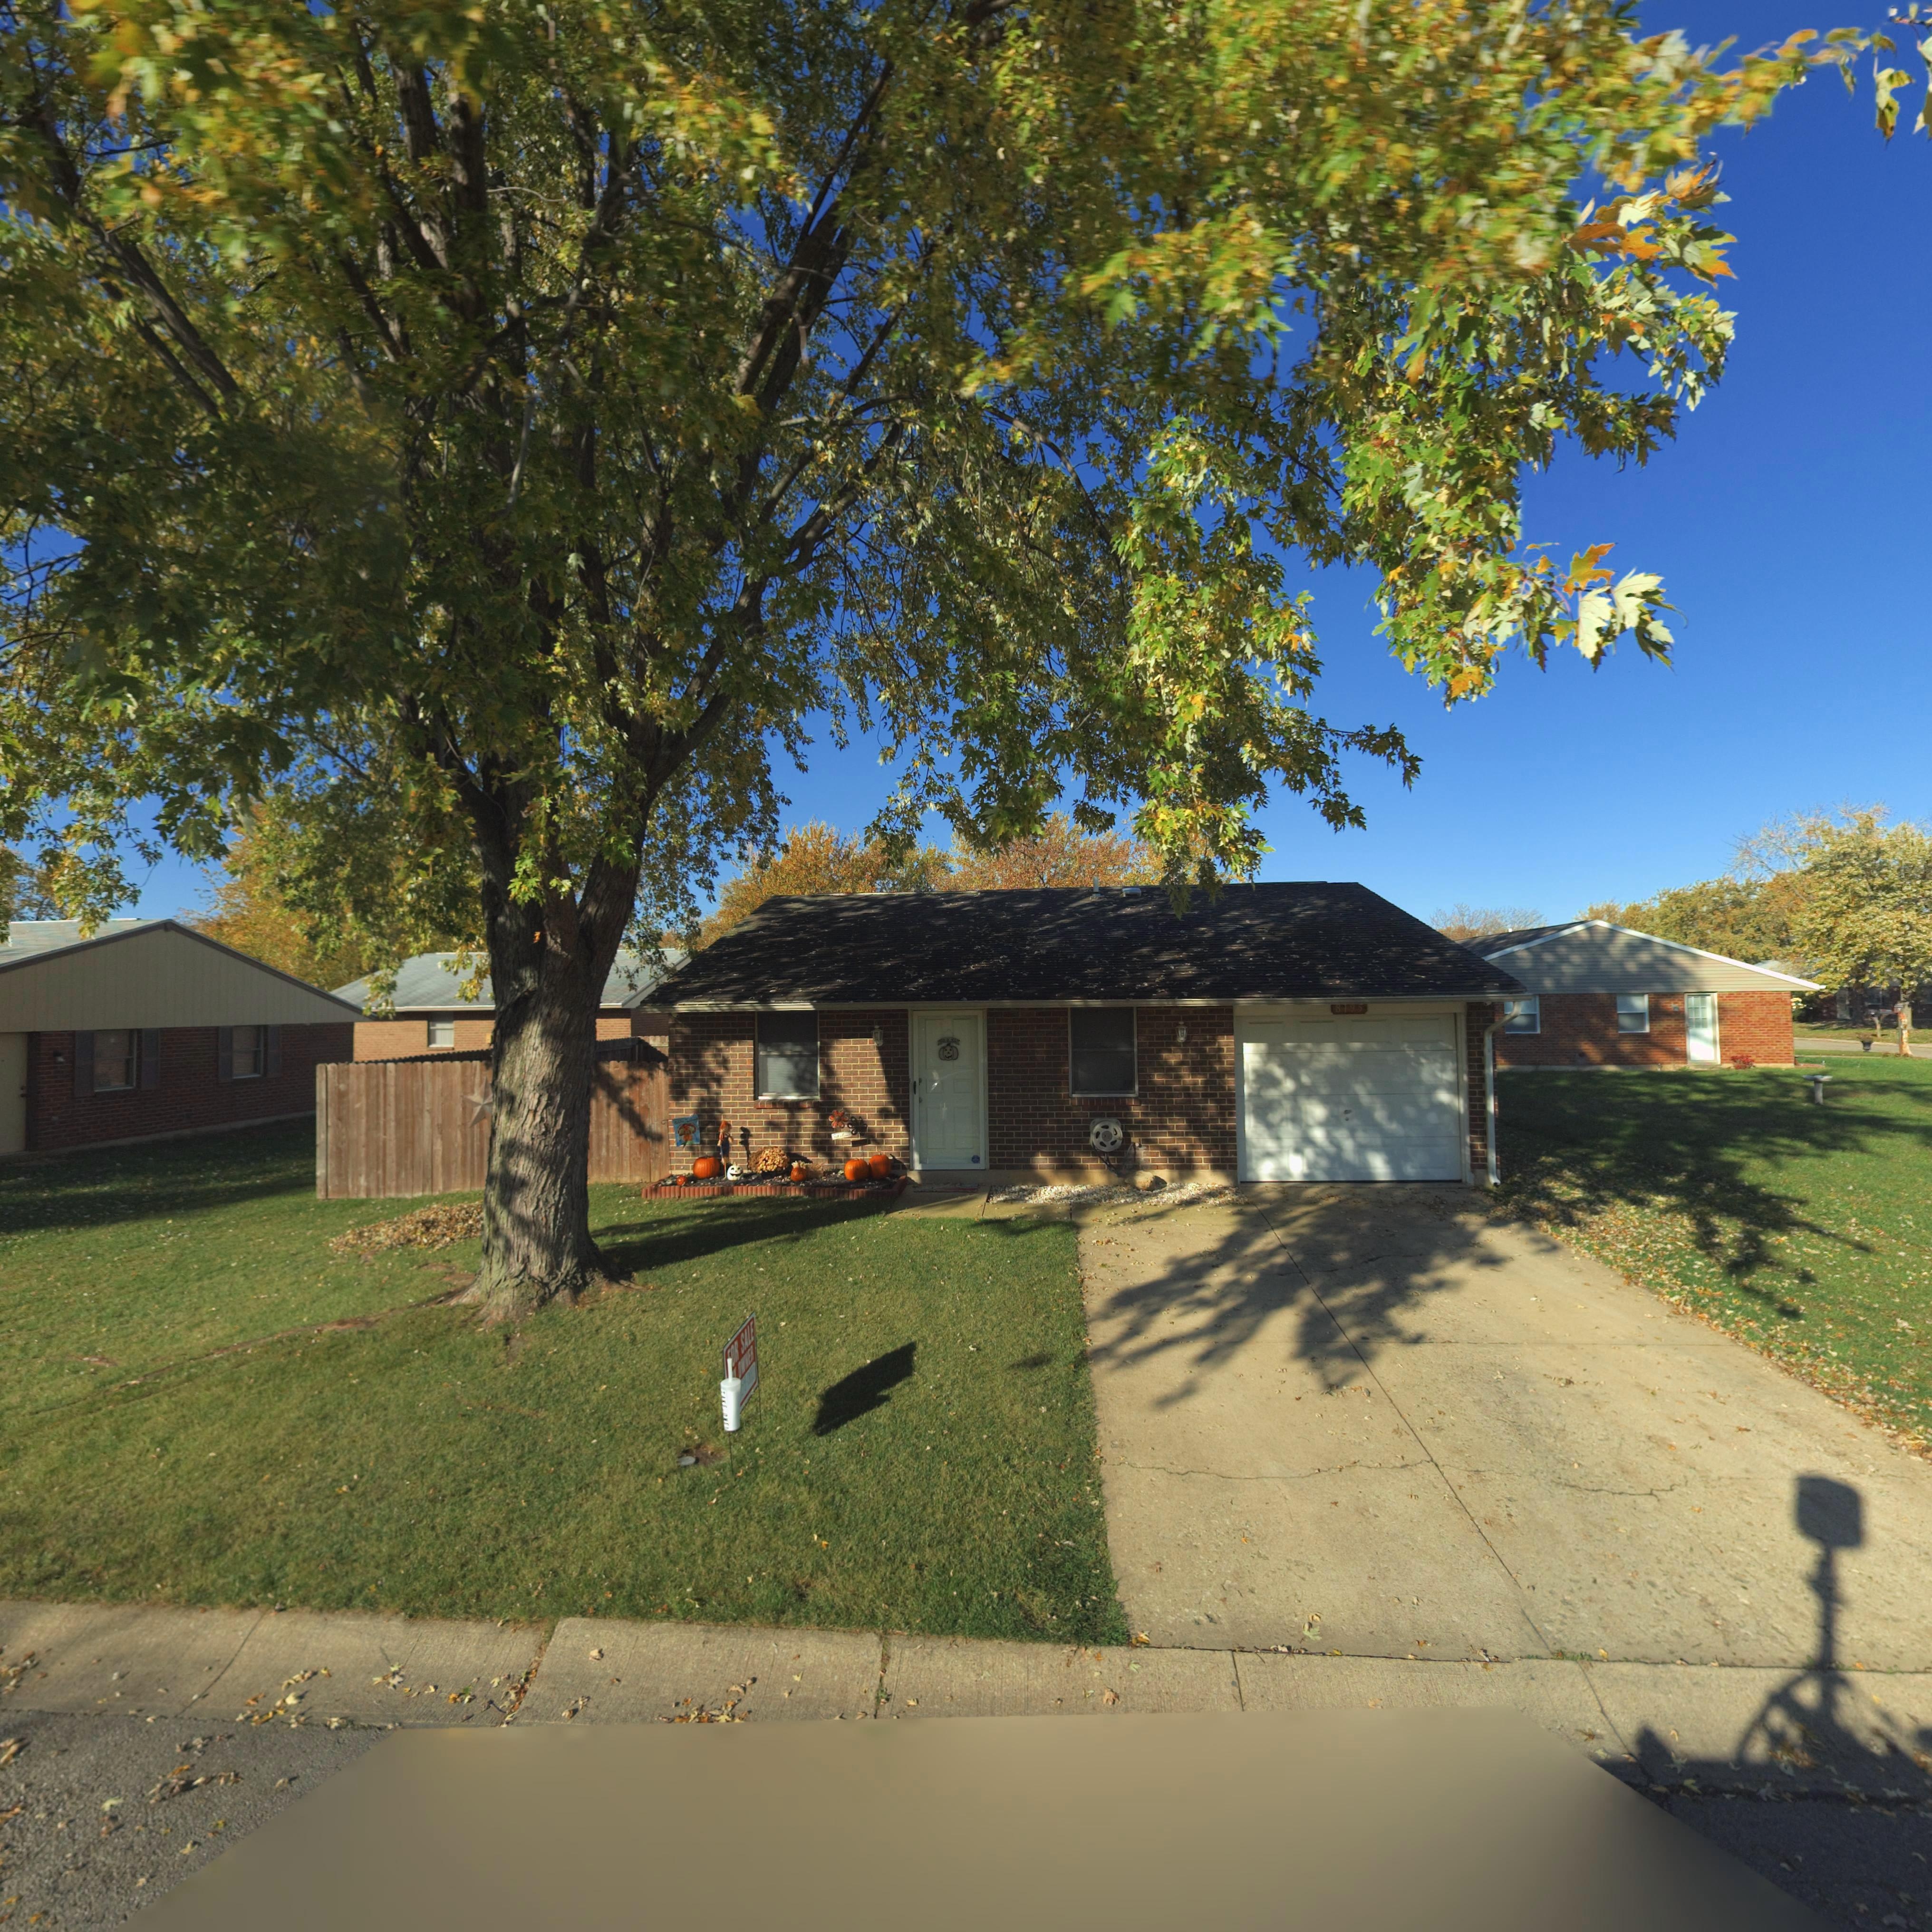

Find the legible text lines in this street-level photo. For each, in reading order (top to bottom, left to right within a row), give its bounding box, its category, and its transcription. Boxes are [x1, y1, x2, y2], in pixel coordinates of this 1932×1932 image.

[1334, 1003, 1364, 1014] StreetNumber: 8195